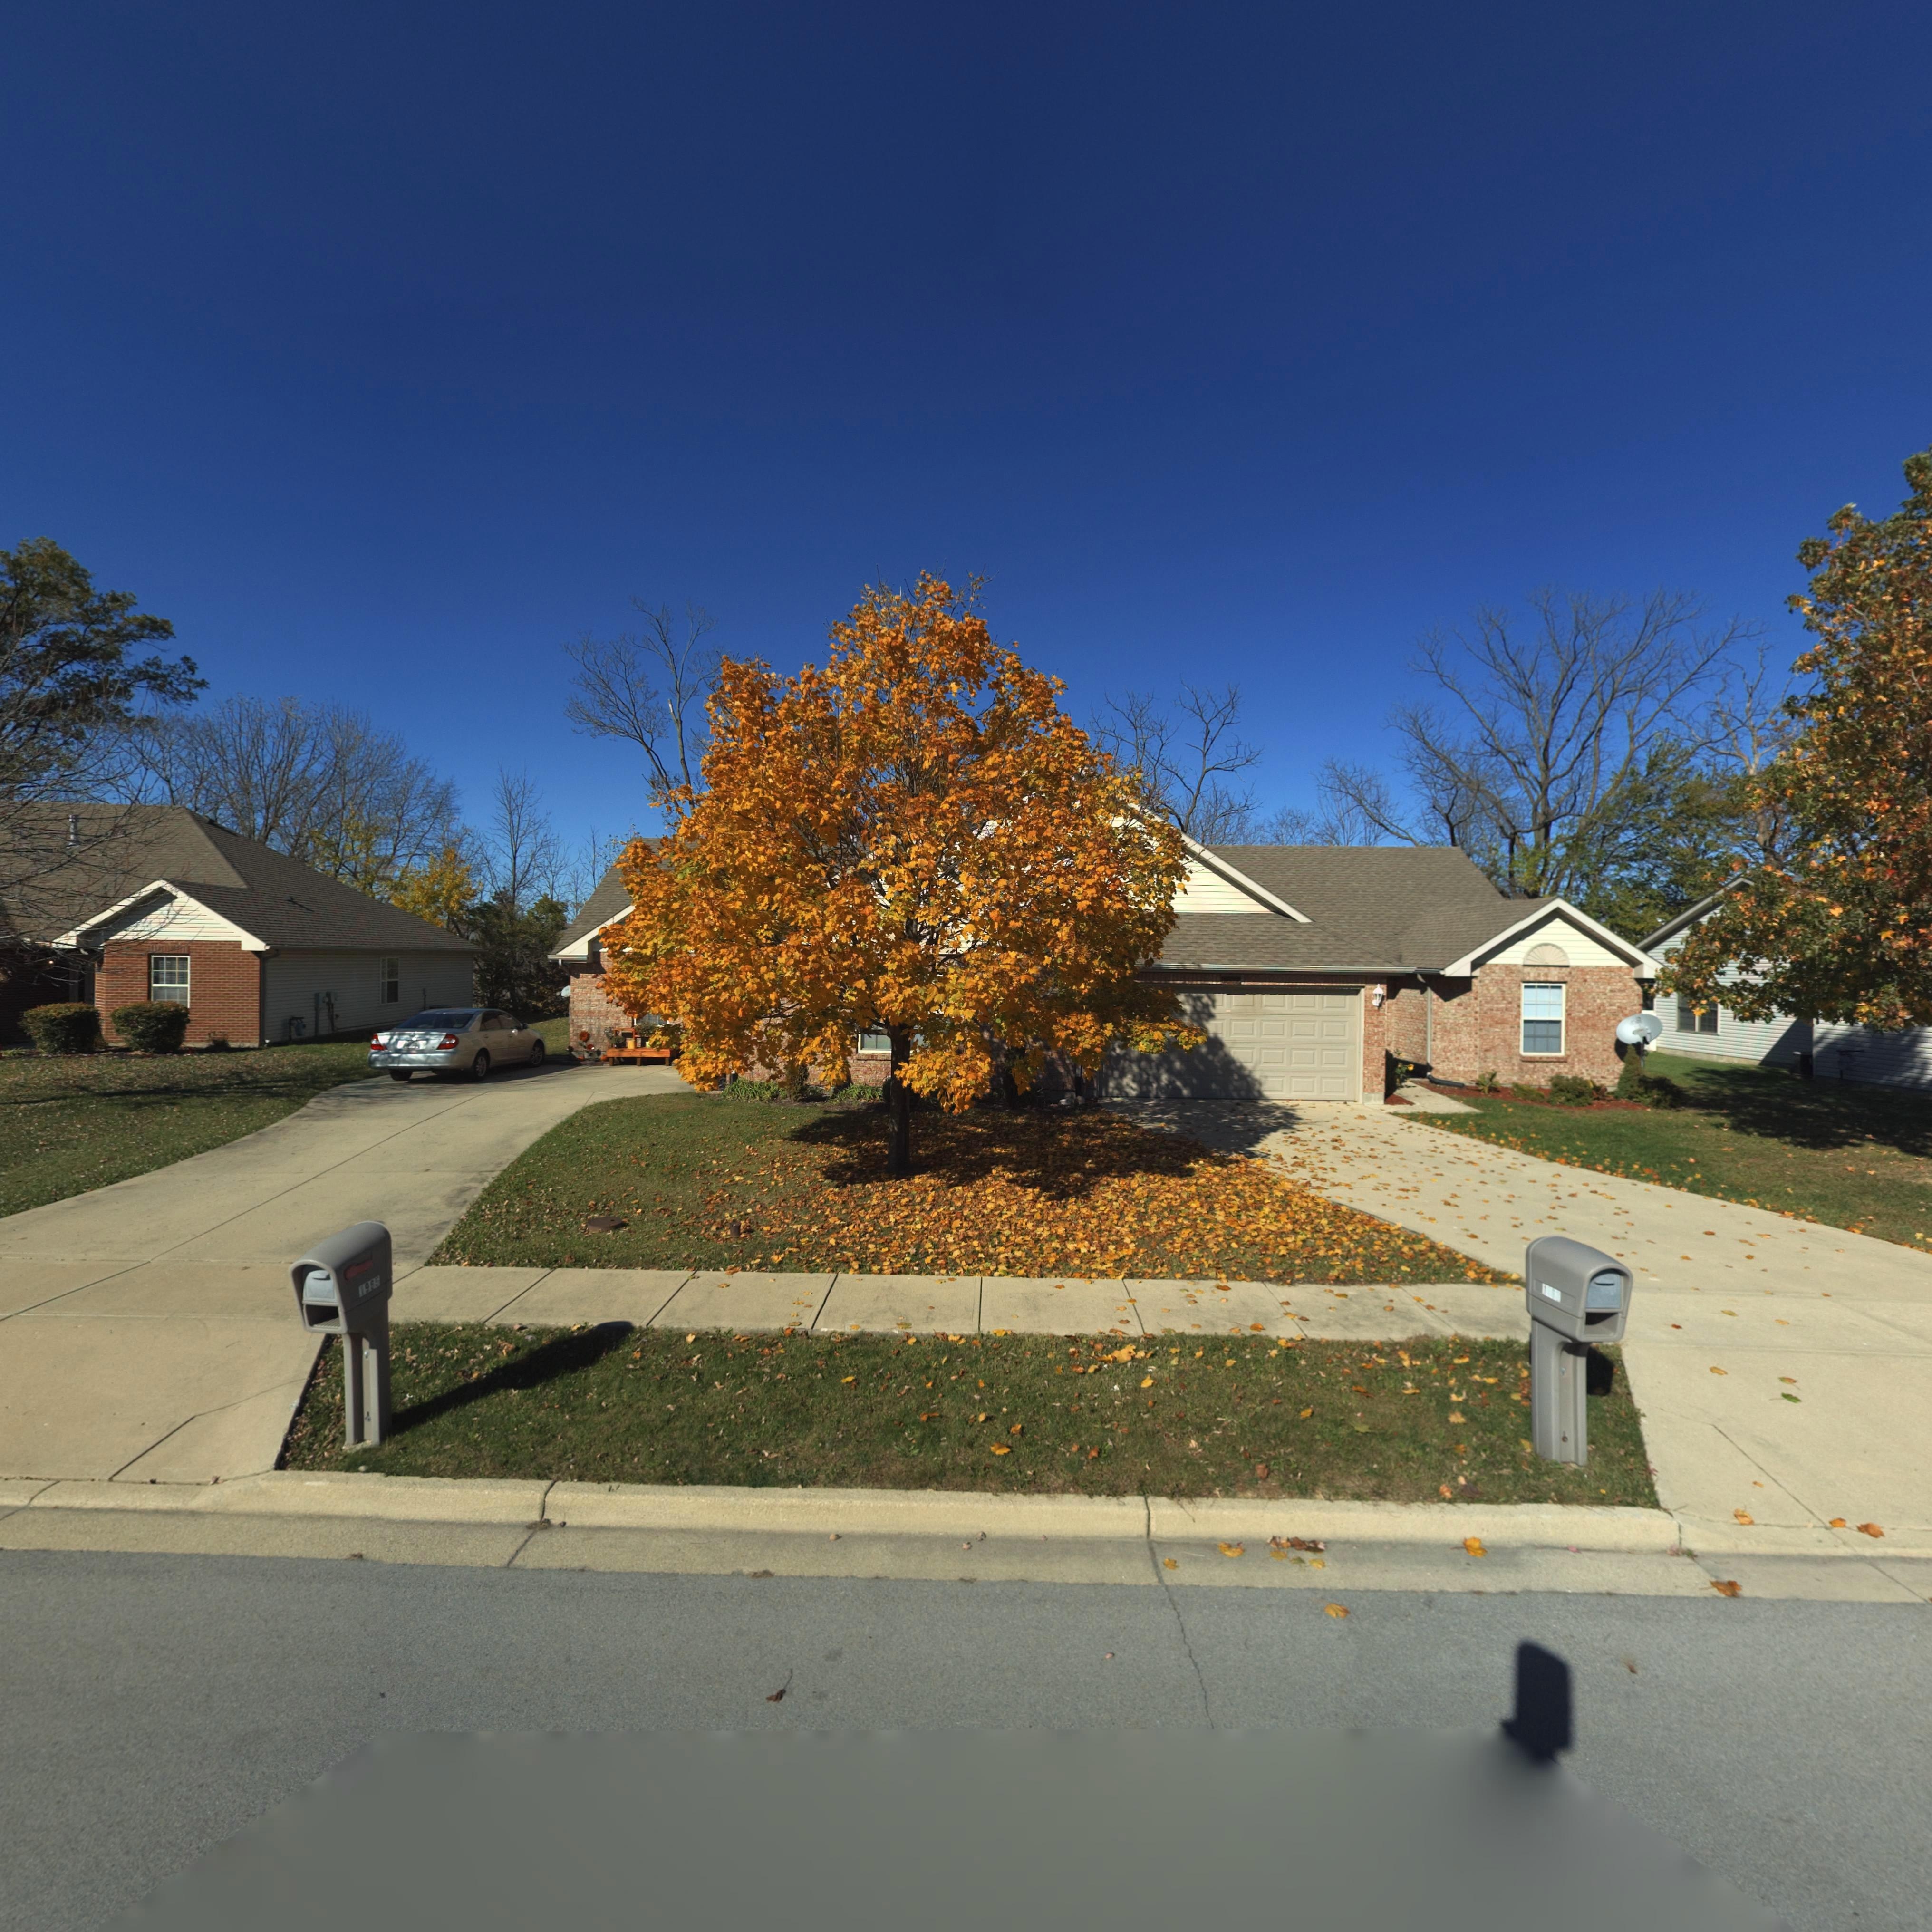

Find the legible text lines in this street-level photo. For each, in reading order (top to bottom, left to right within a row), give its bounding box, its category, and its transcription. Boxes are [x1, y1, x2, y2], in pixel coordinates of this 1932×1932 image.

[358, 1274, 381, 1298] StreetNumber: 19*5